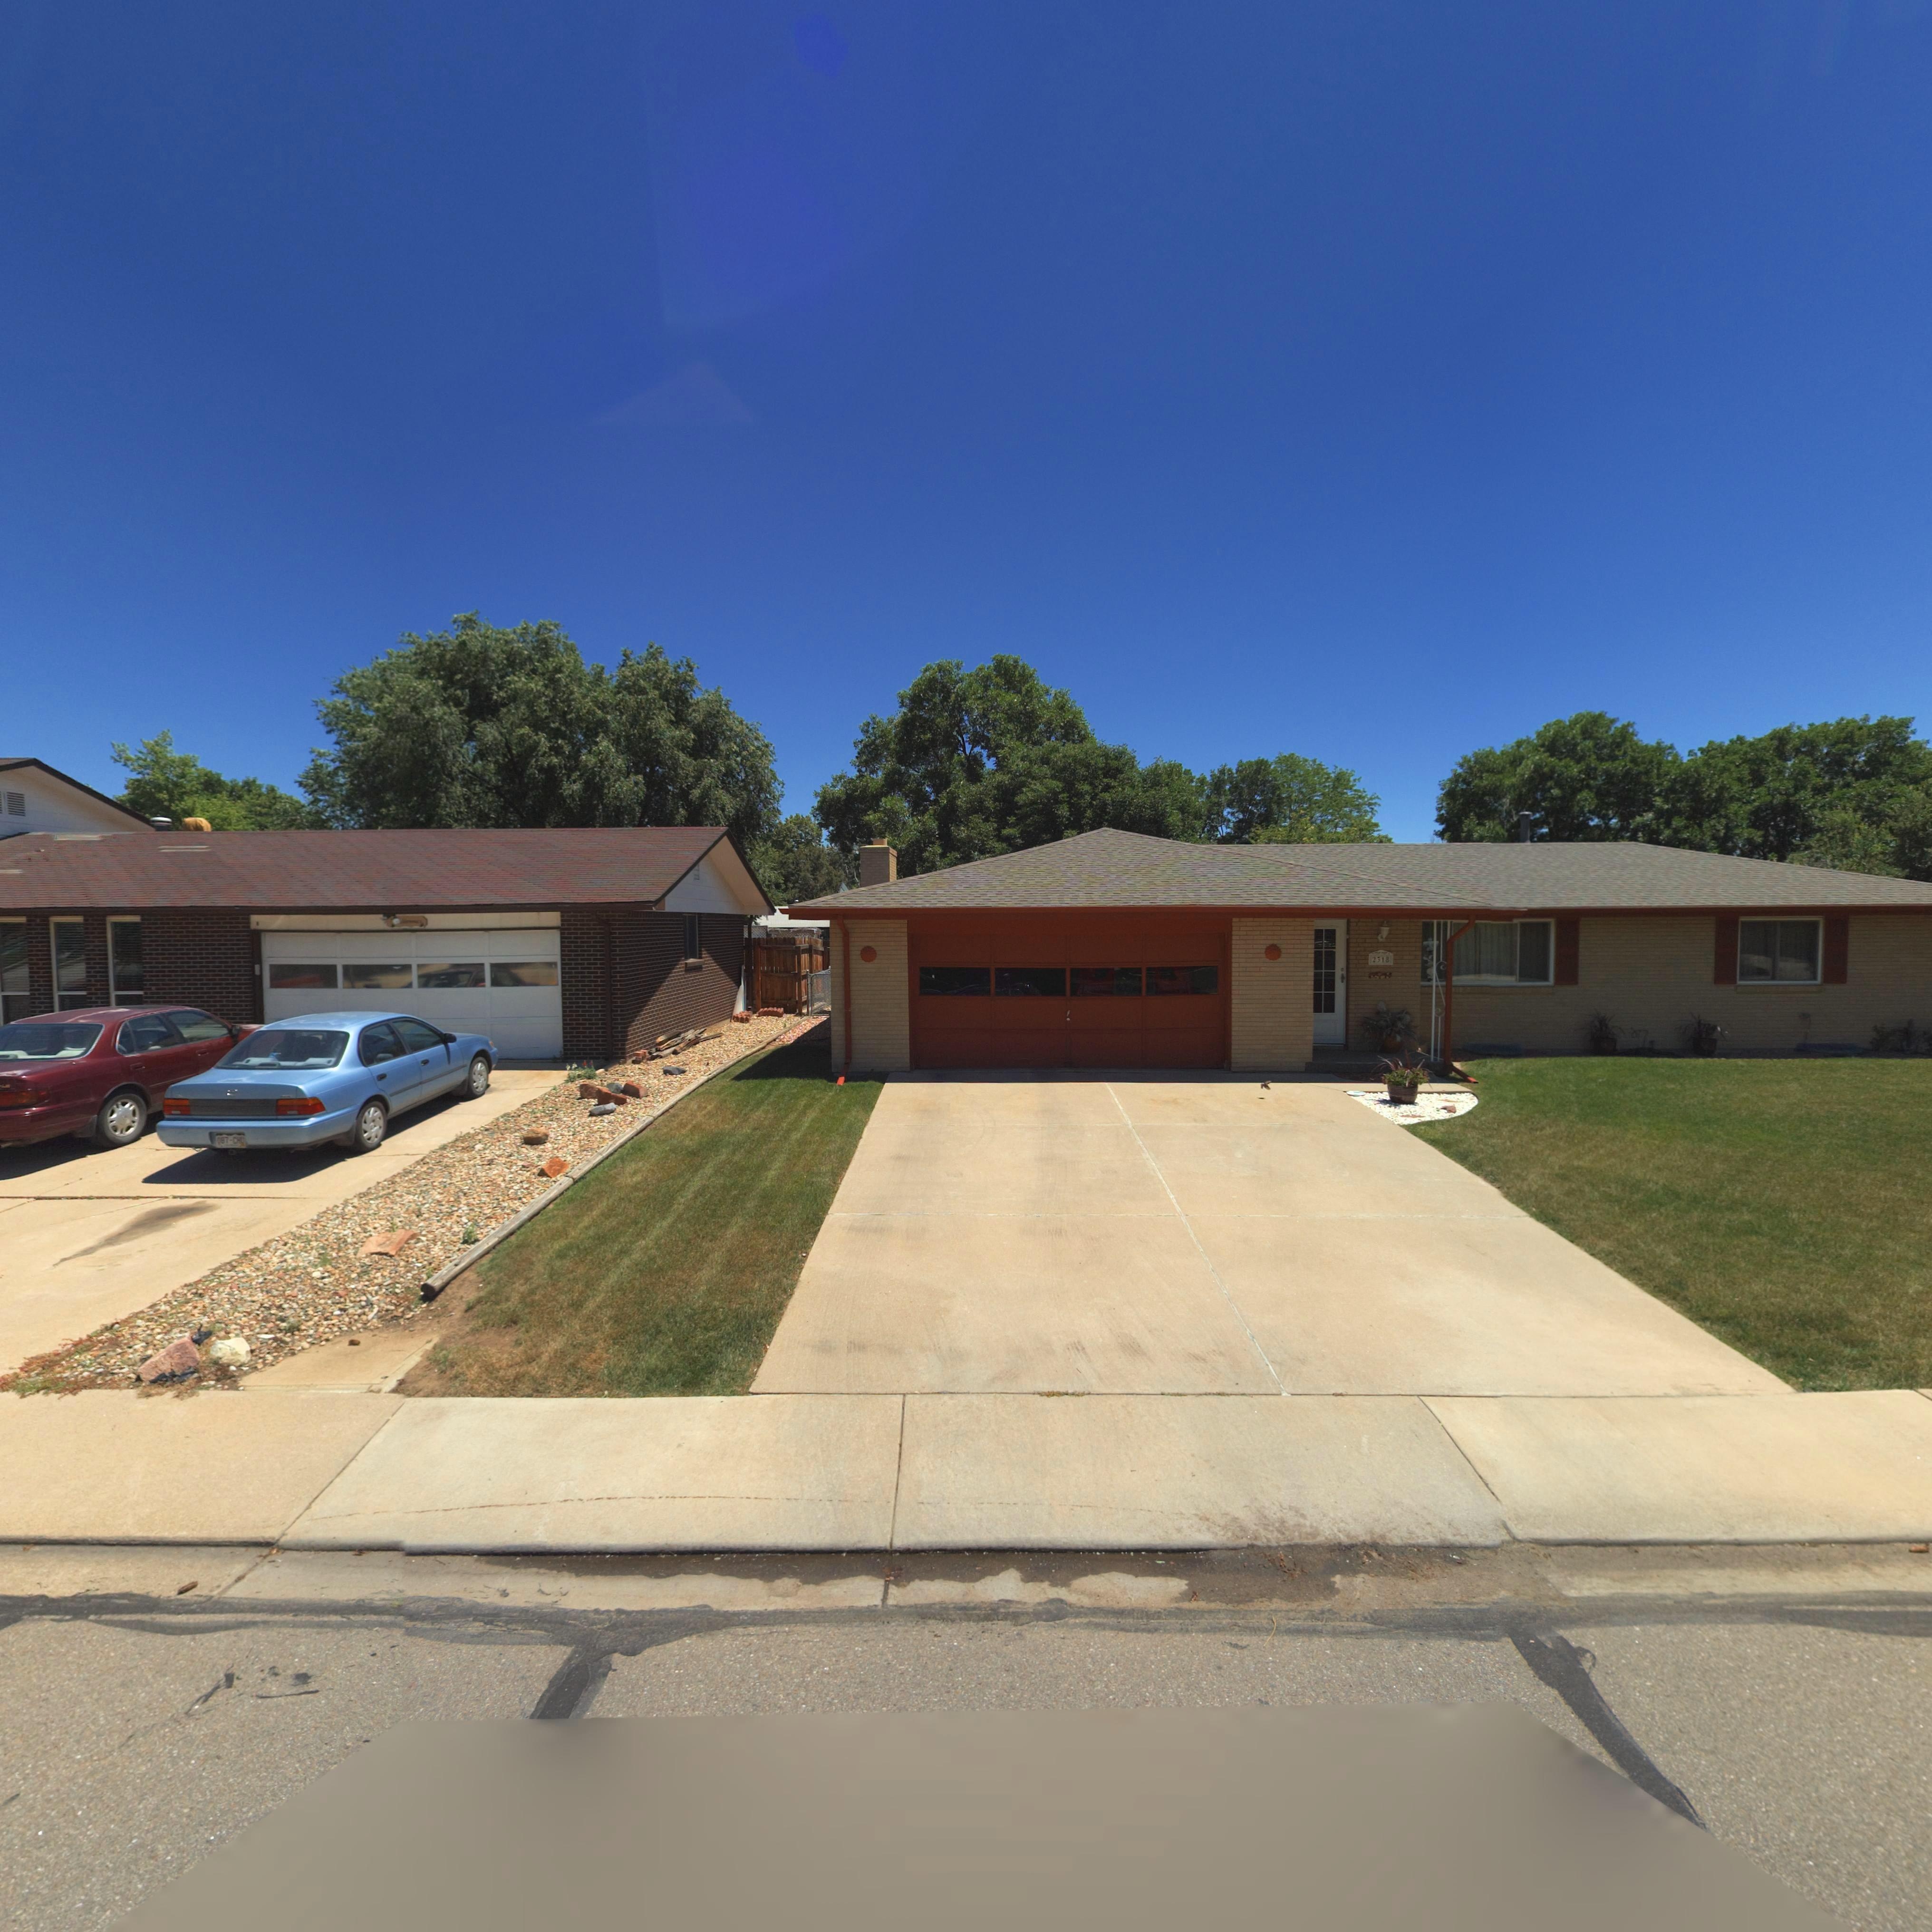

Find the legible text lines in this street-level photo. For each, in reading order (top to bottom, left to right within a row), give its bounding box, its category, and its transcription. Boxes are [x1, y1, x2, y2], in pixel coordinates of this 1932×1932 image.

[1372, 956, 1389, 962] StreetNumber: 2318